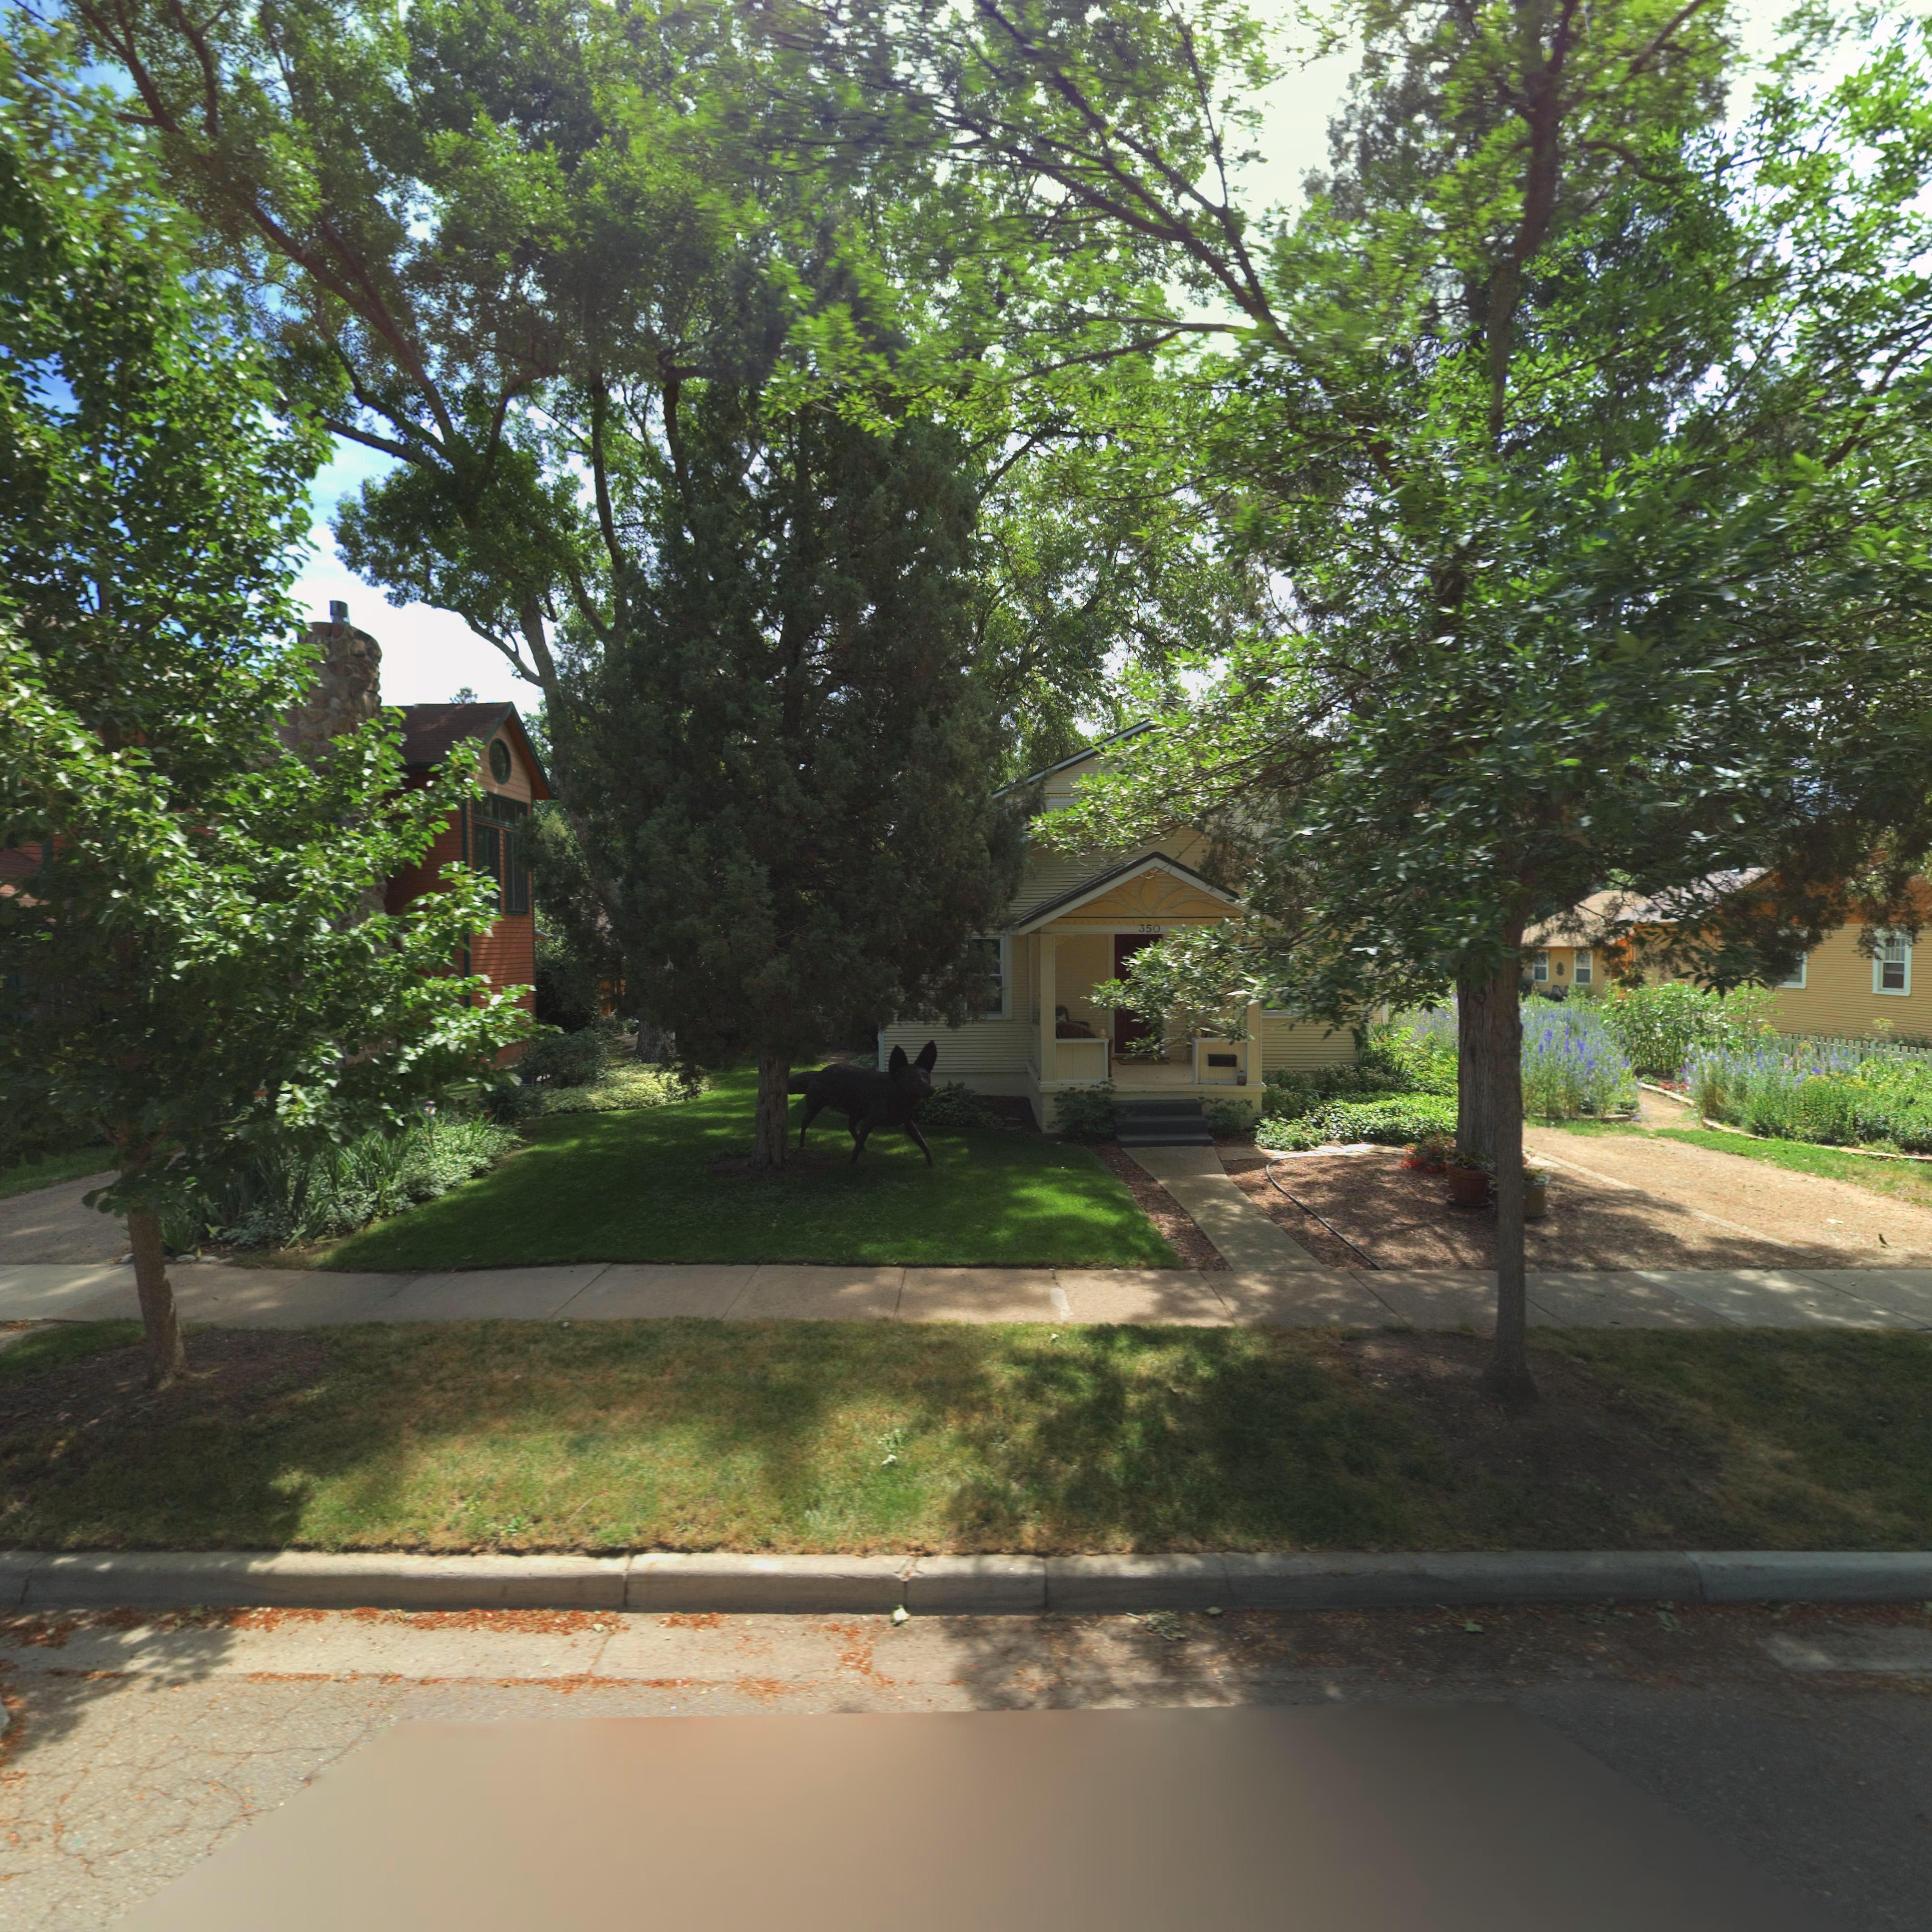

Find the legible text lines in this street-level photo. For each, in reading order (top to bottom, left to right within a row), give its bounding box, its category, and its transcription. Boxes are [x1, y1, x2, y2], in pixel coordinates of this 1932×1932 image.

[1139, 924, 1160, 932] StreetNumber: 350